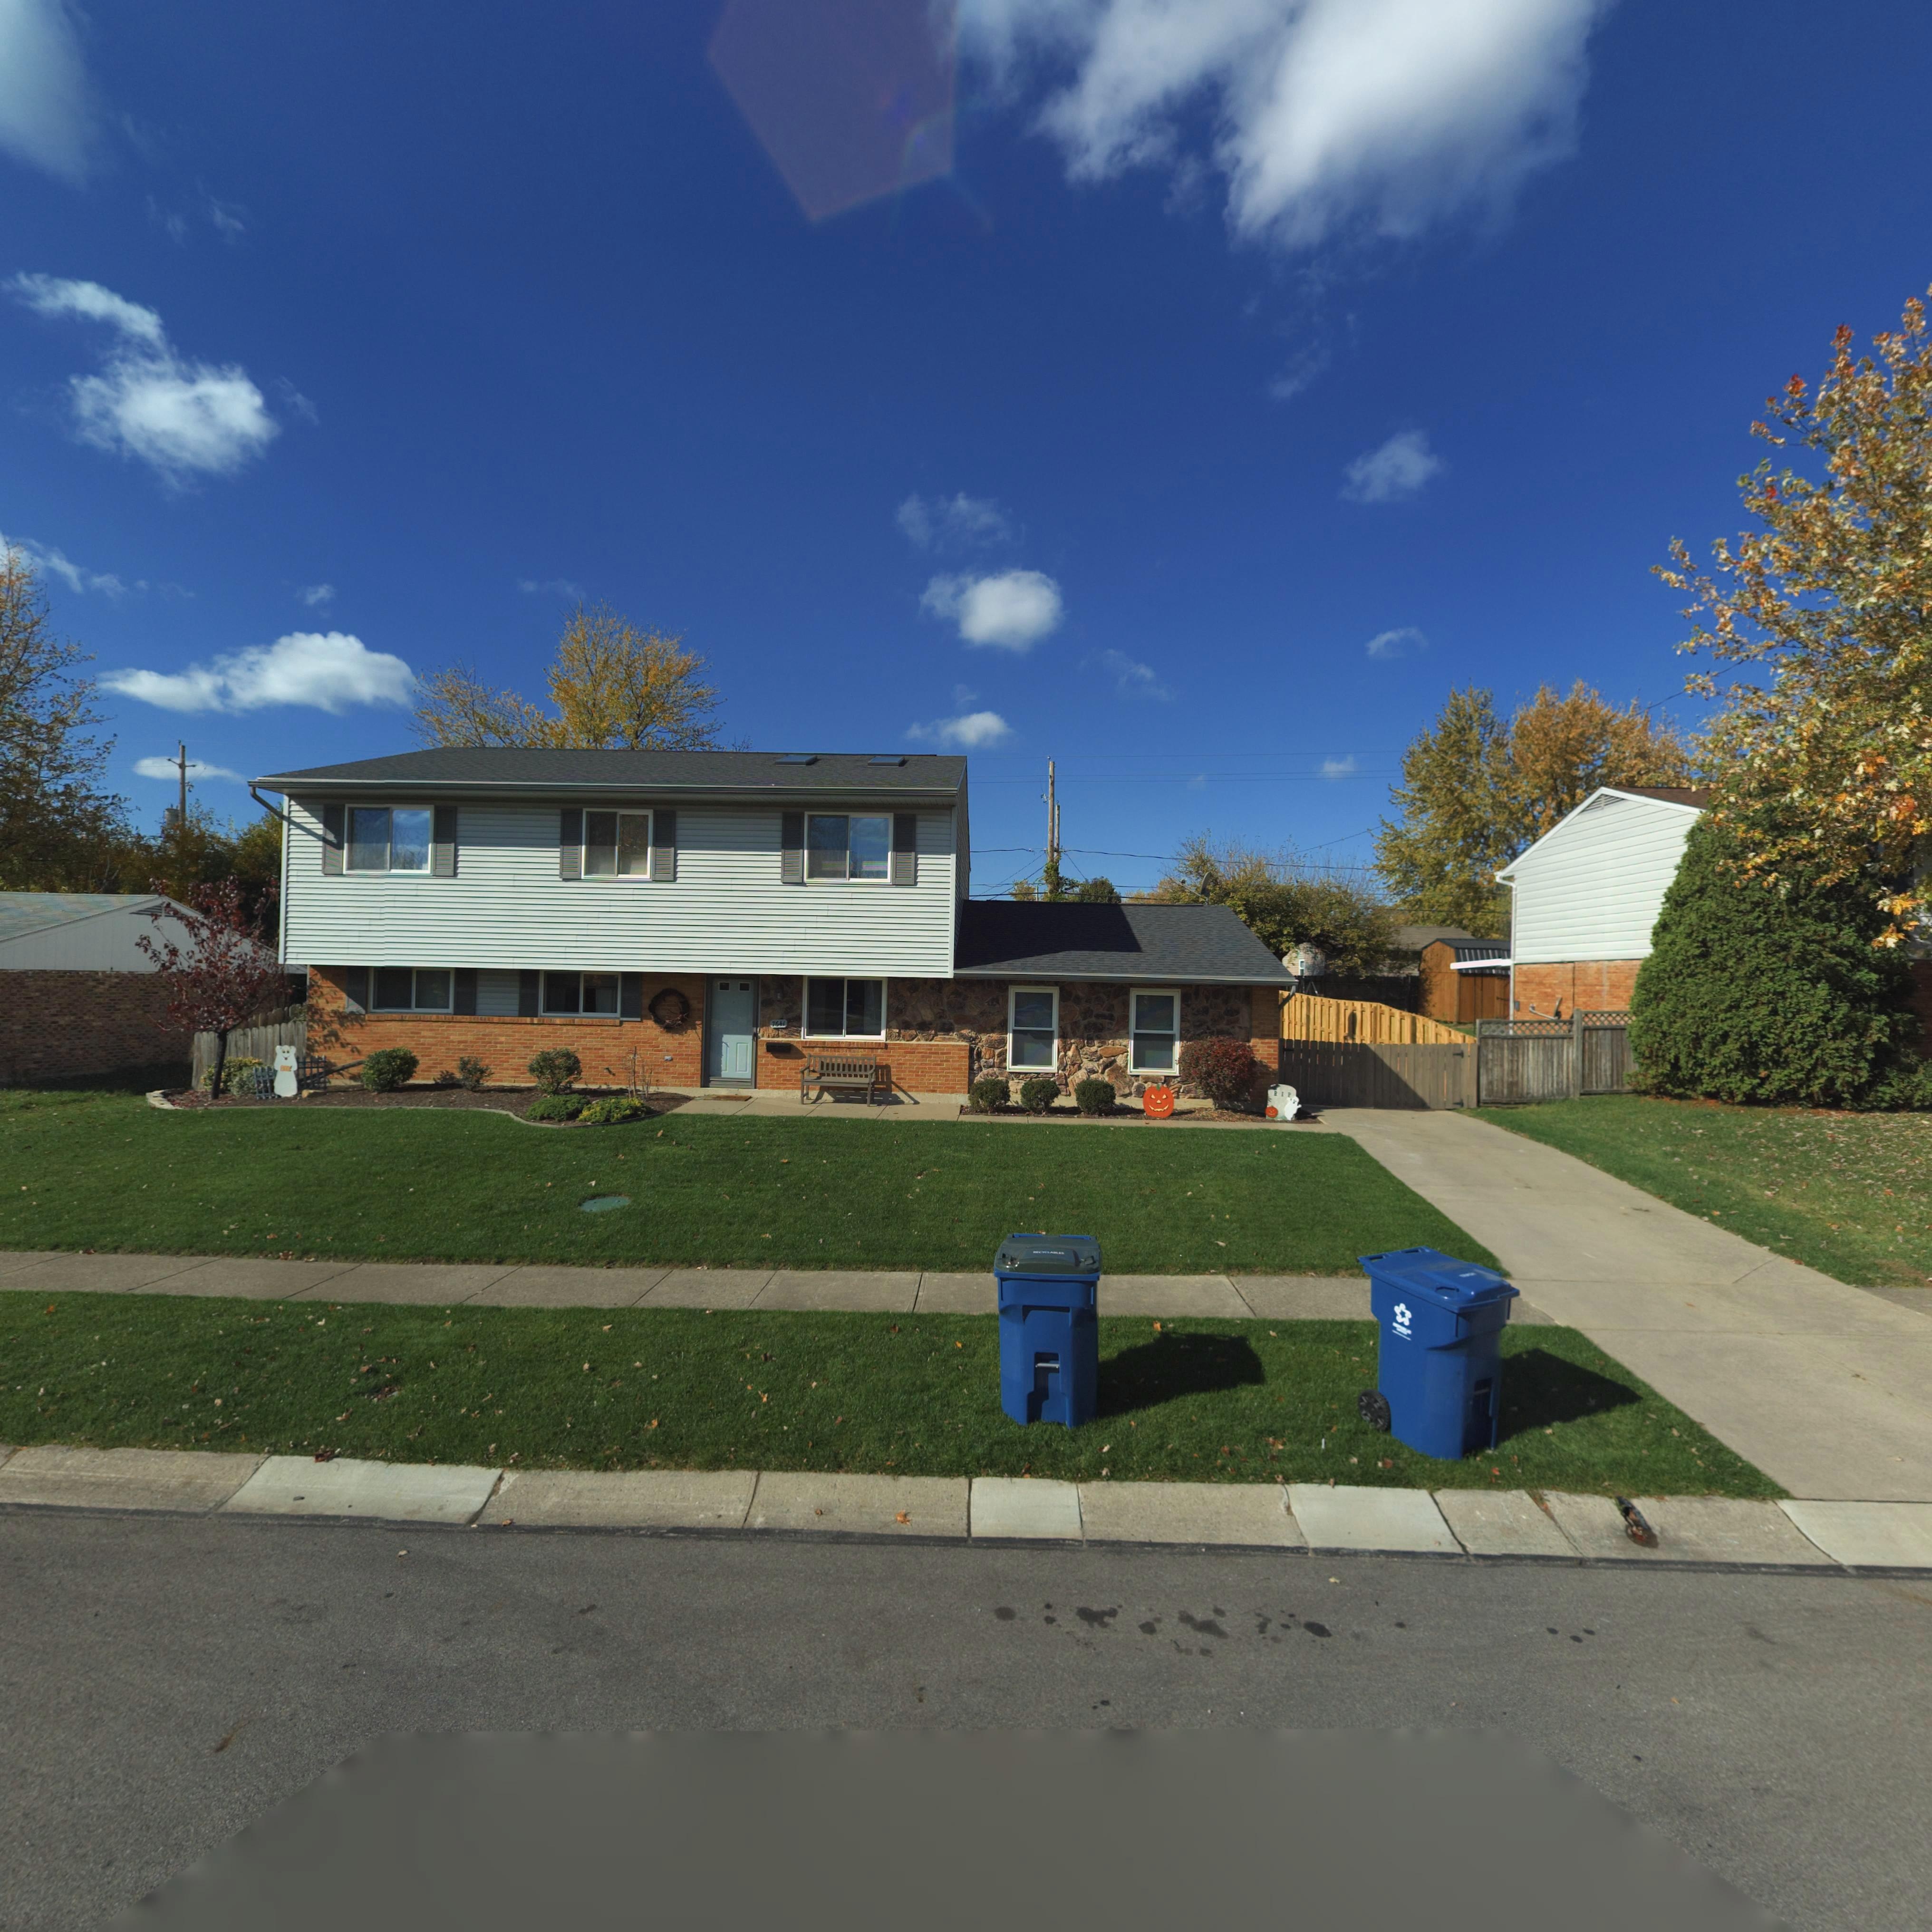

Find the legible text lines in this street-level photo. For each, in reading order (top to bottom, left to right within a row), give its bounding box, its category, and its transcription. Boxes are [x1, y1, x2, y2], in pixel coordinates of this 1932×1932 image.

[771, 1020, 786, 1028] StreetNumber: 7641